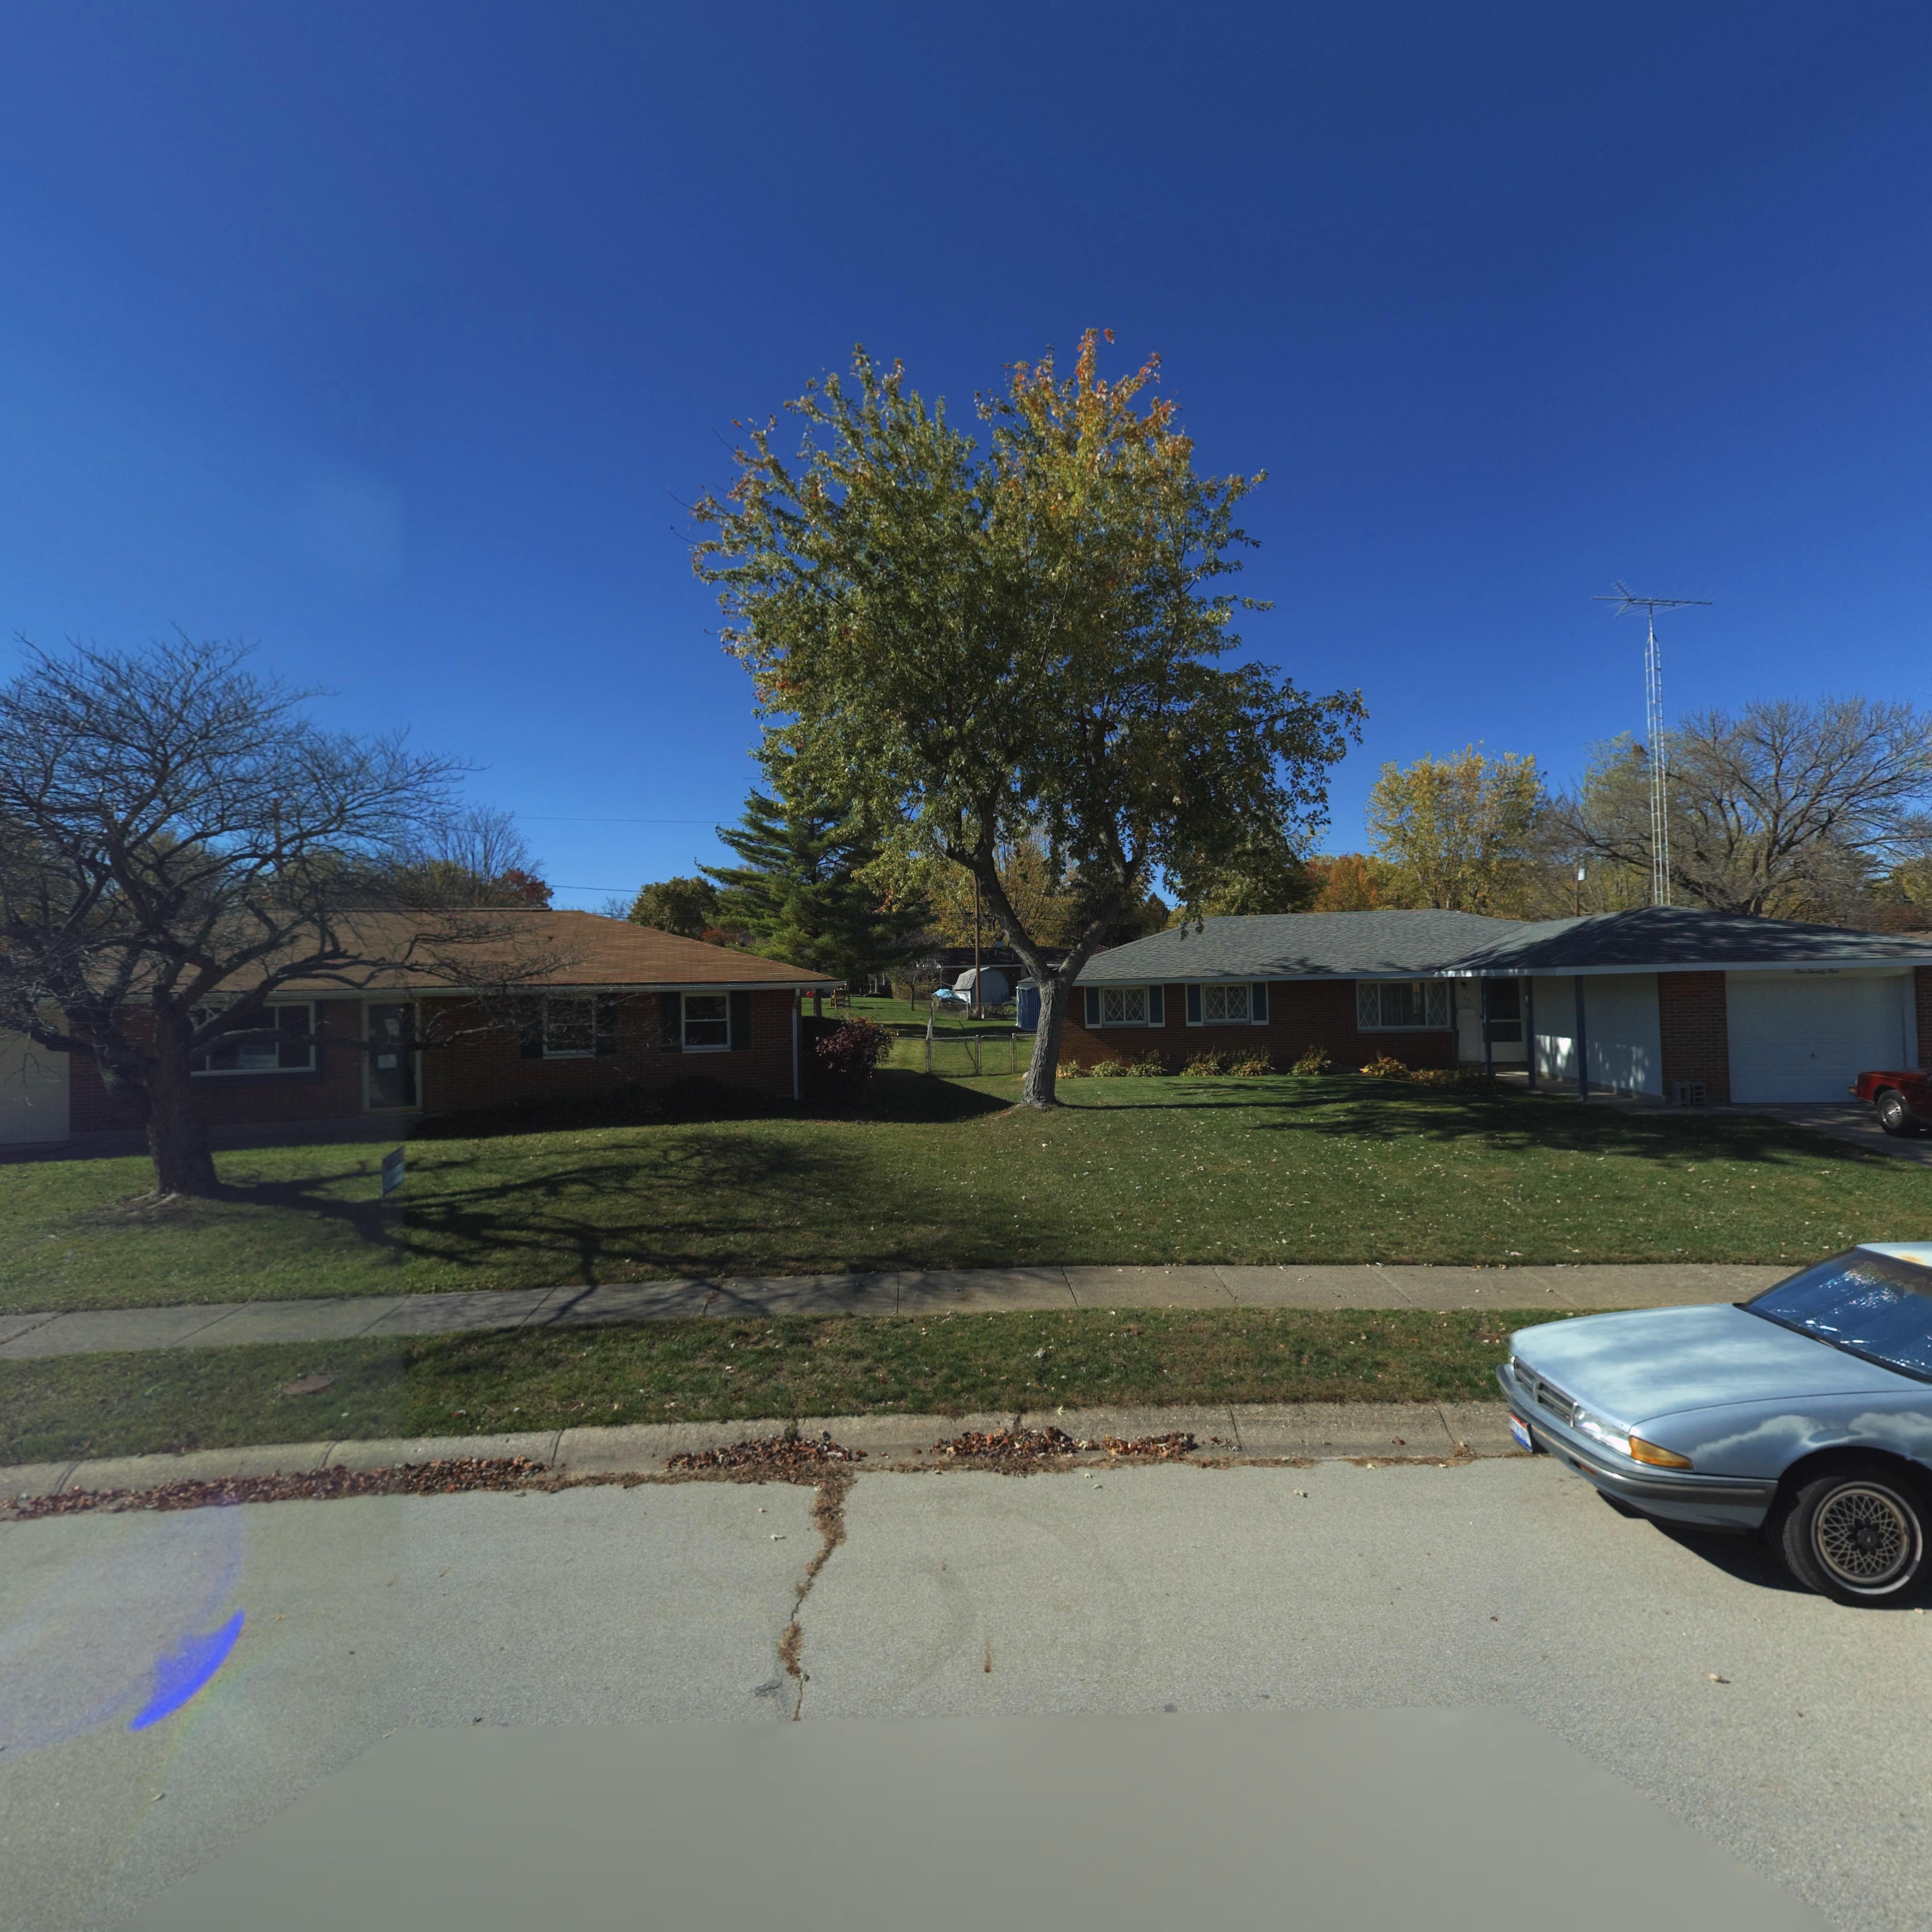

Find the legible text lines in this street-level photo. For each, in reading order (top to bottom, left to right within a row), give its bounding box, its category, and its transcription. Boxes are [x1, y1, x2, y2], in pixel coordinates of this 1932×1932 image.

[1459, 993, 1471, 1004] StreetNumber: 125